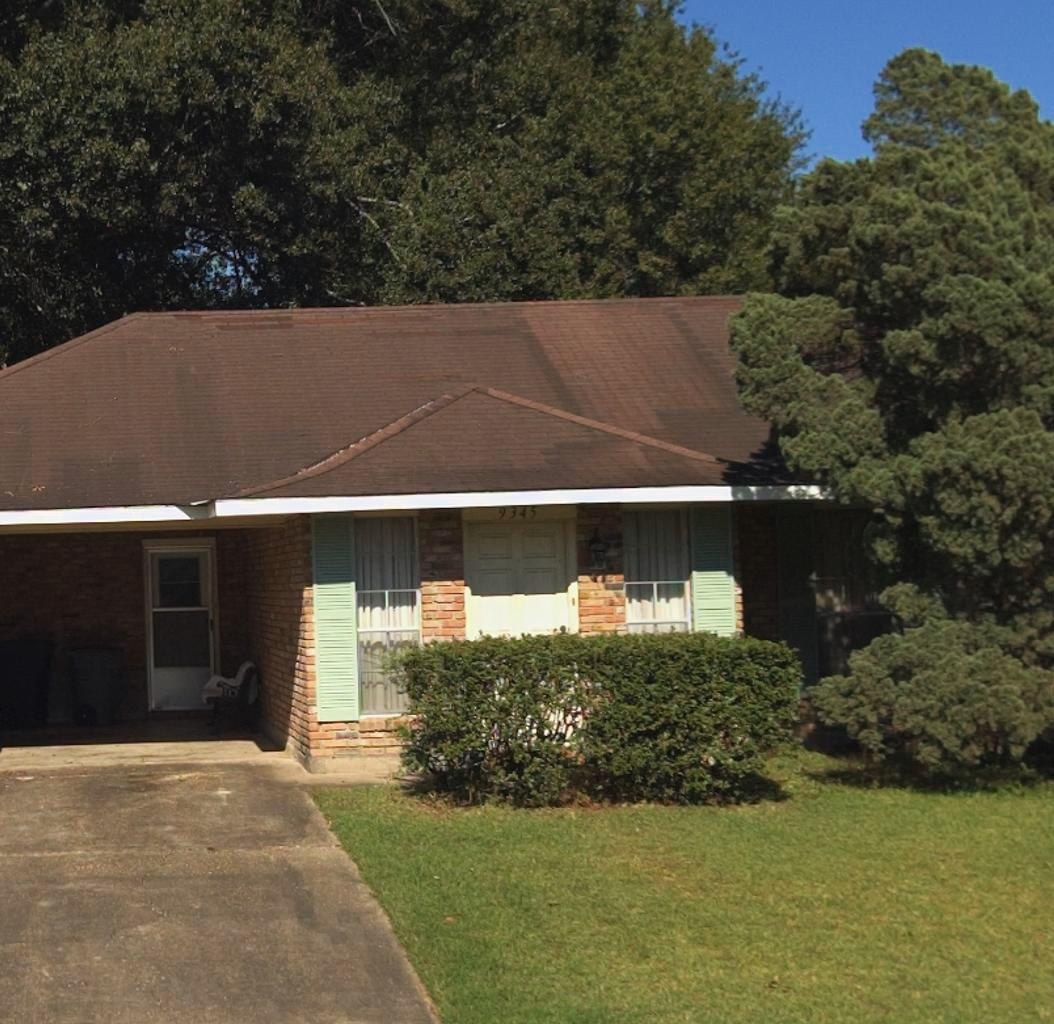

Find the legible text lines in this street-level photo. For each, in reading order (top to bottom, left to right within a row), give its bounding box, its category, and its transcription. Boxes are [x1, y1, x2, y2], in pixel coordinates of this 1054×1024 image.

[497, 506, 537, 520] StreetNumber: 9345